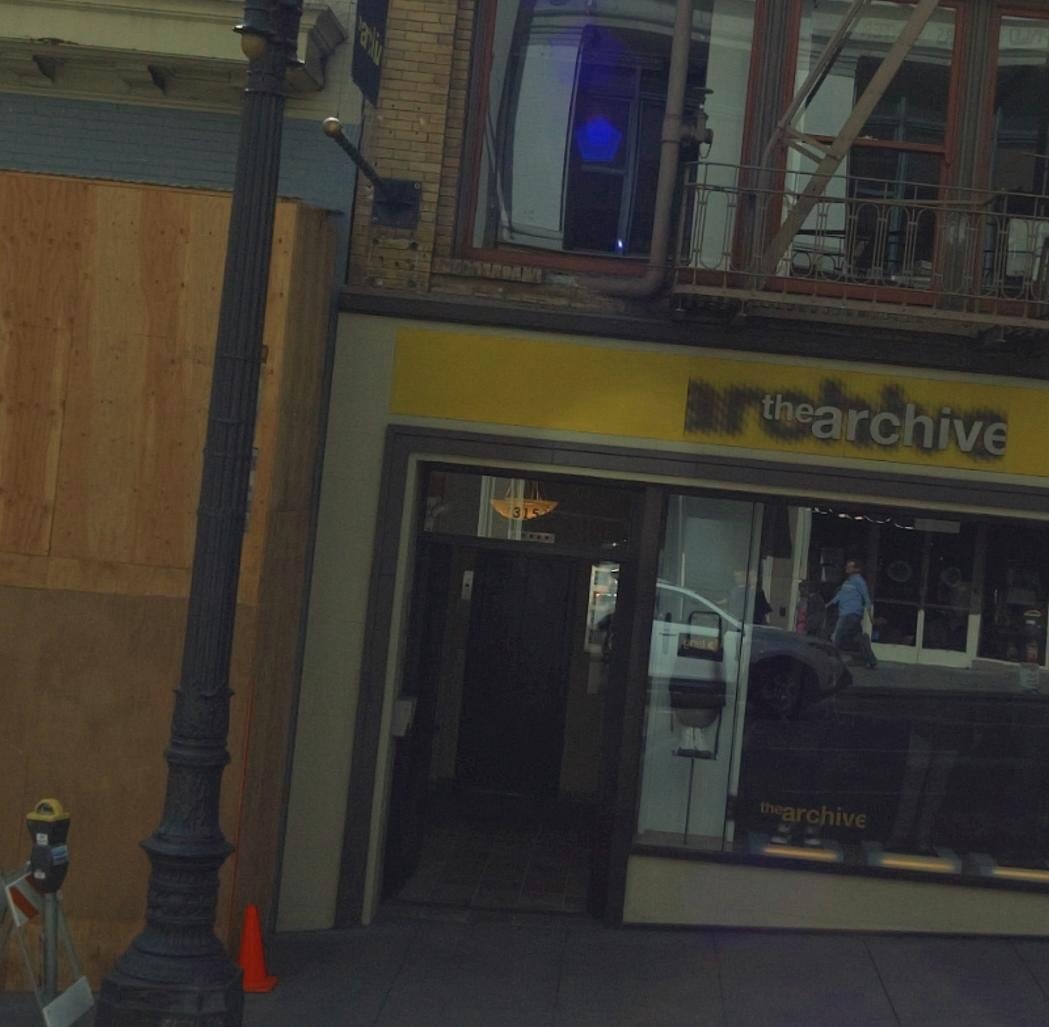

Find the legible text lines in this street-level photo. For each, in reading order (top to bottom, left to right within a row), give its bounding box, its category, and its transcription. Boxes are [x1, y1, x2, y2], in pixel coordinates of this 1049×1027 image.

[357, 15, 372, 56] None: a
[754, 383, 994, 458] BusinessName: the archiv
[509, 504, 544, 522] StreetNumber: 315
[755, 797, 870, 835] BusinessName: thearchive